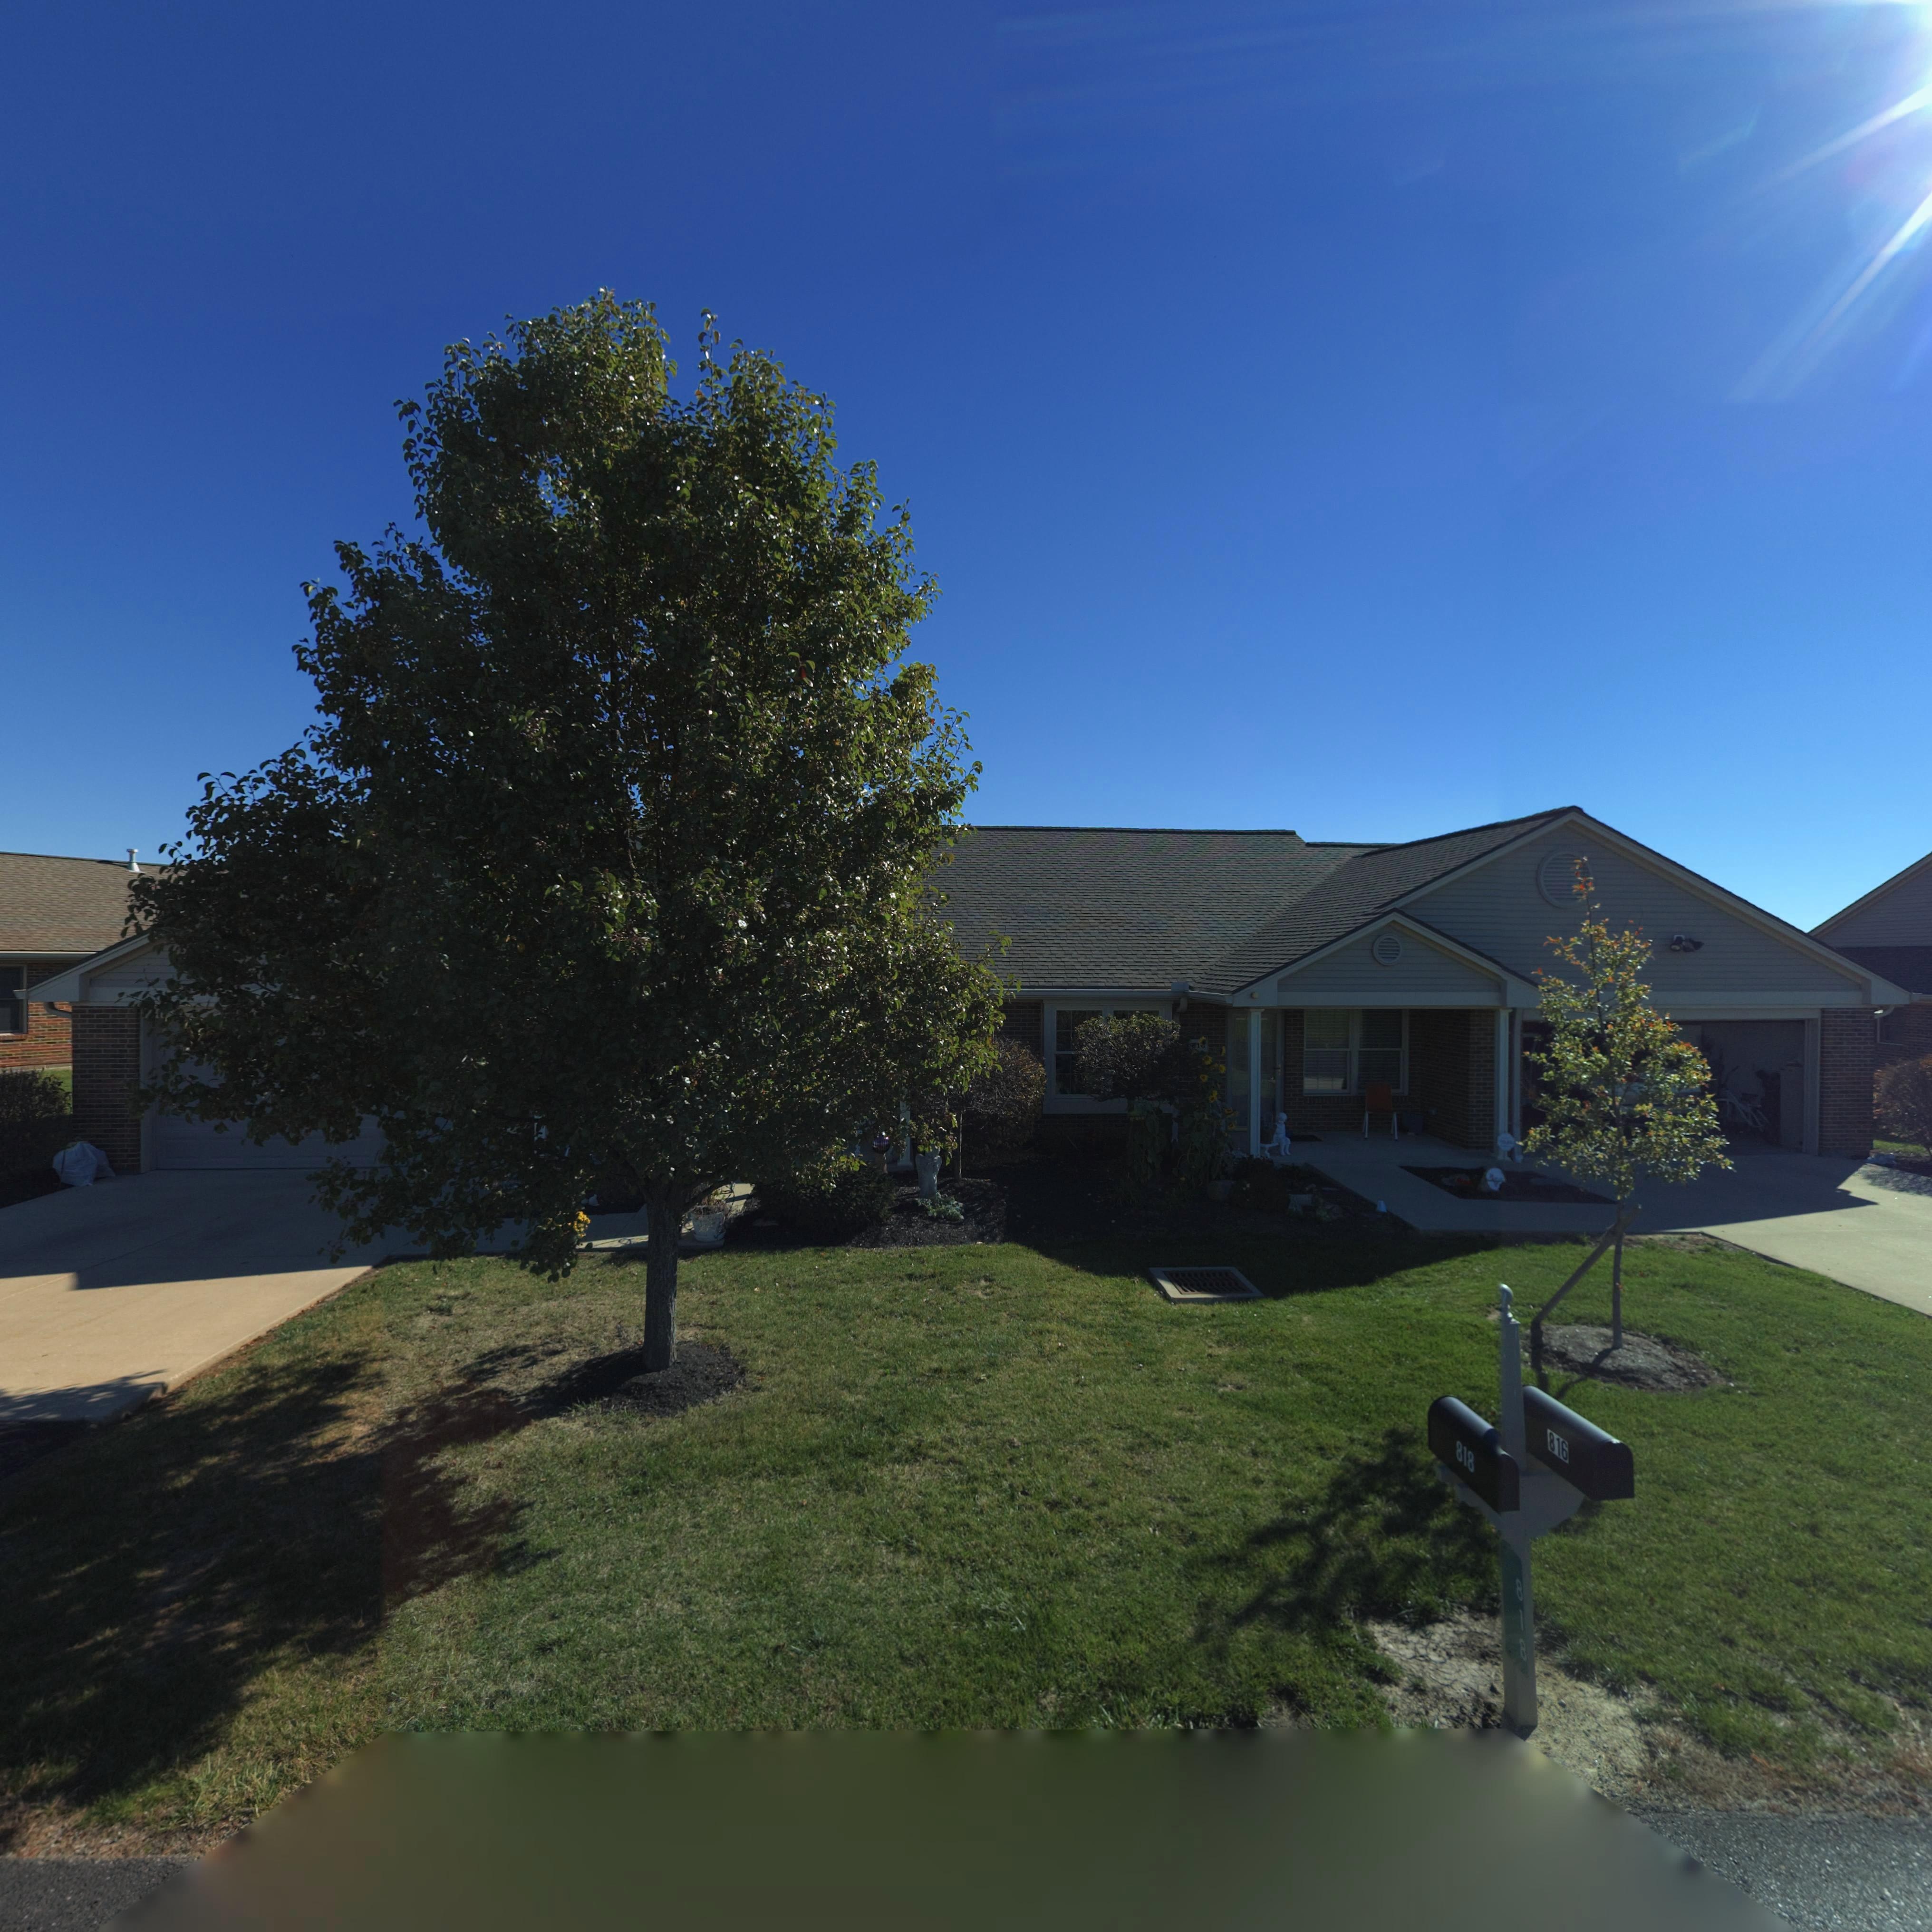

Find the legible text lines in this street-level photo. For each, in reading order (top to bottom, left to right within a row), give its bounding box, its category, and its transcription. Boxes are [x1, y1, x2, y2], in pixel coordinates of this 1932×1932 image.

[1197, 1042, 1200, 1049] StreetNumber: 1
[1455, 1439, 1475, 1475] StreetNumber: 818
[1549, 1430, 1568, 1462] StreetNumber: 816
[1515, 1576, 1527, 1662] StreetNumber: 818